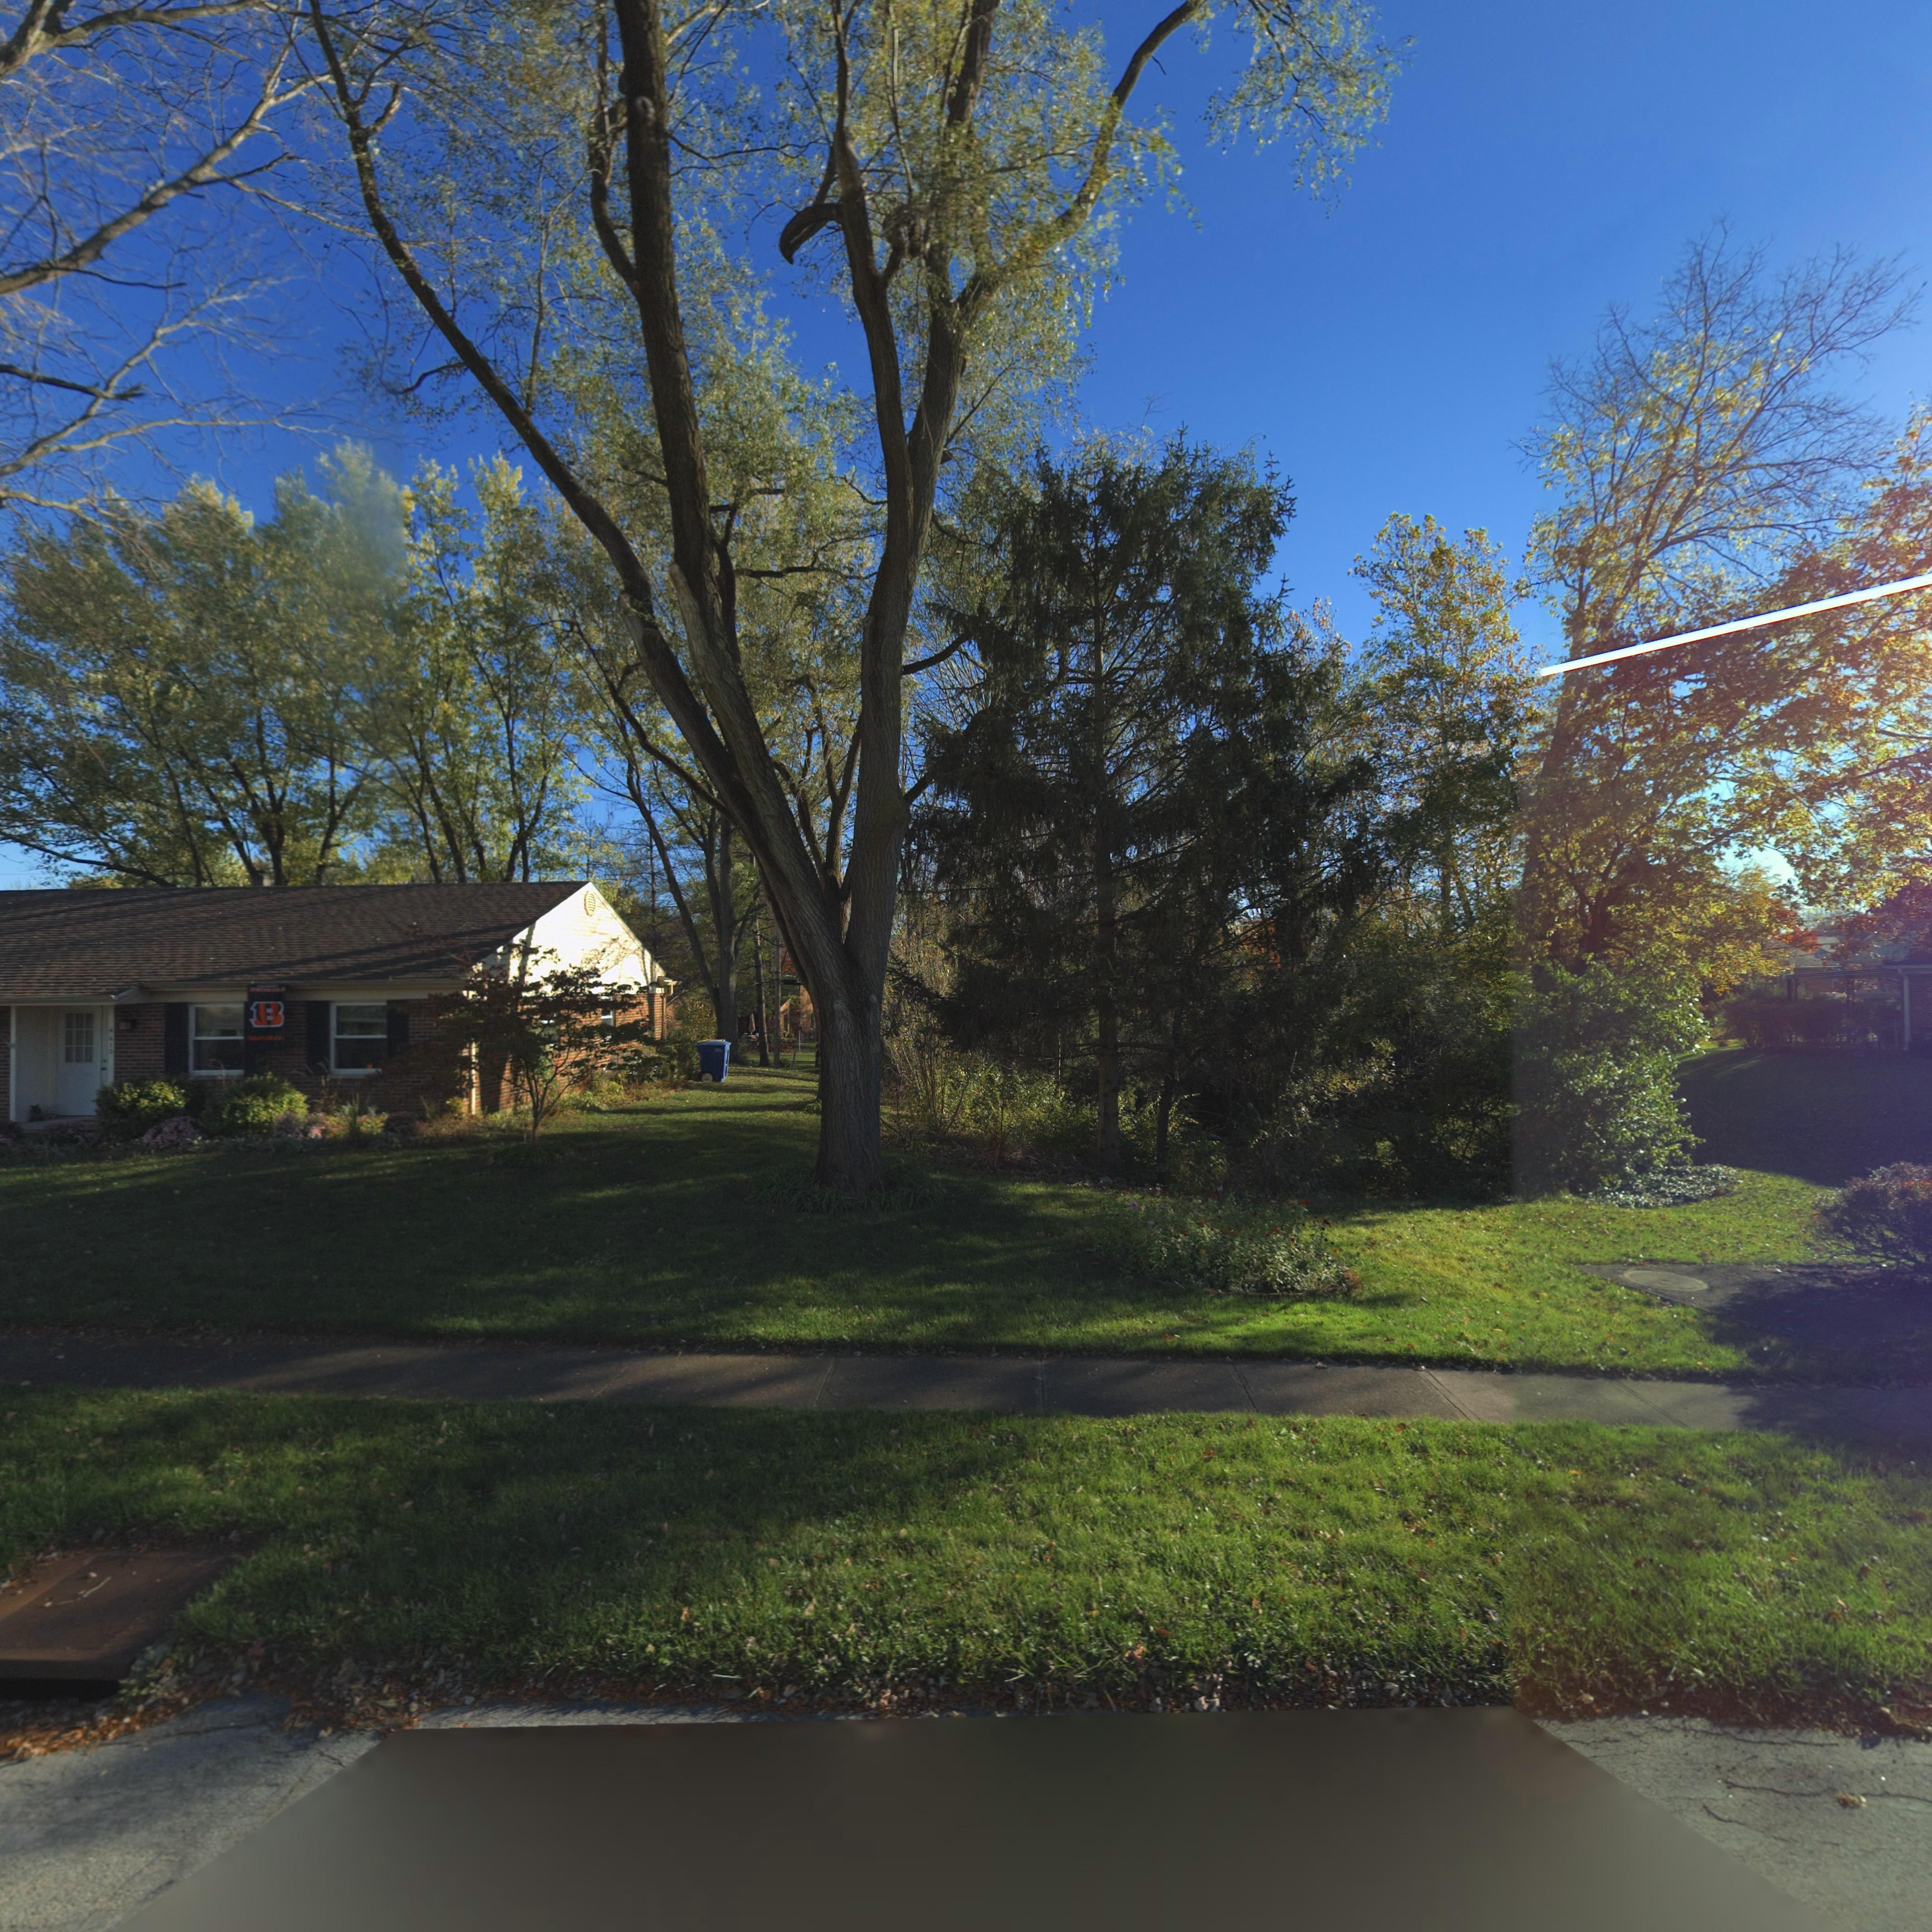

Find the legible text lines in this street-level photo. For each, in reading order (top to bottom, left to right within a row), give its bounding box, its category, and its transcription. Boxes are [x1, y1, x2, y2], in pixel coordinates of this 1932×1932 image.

[106, 1026, 115, 1055] StreetNumber: **12